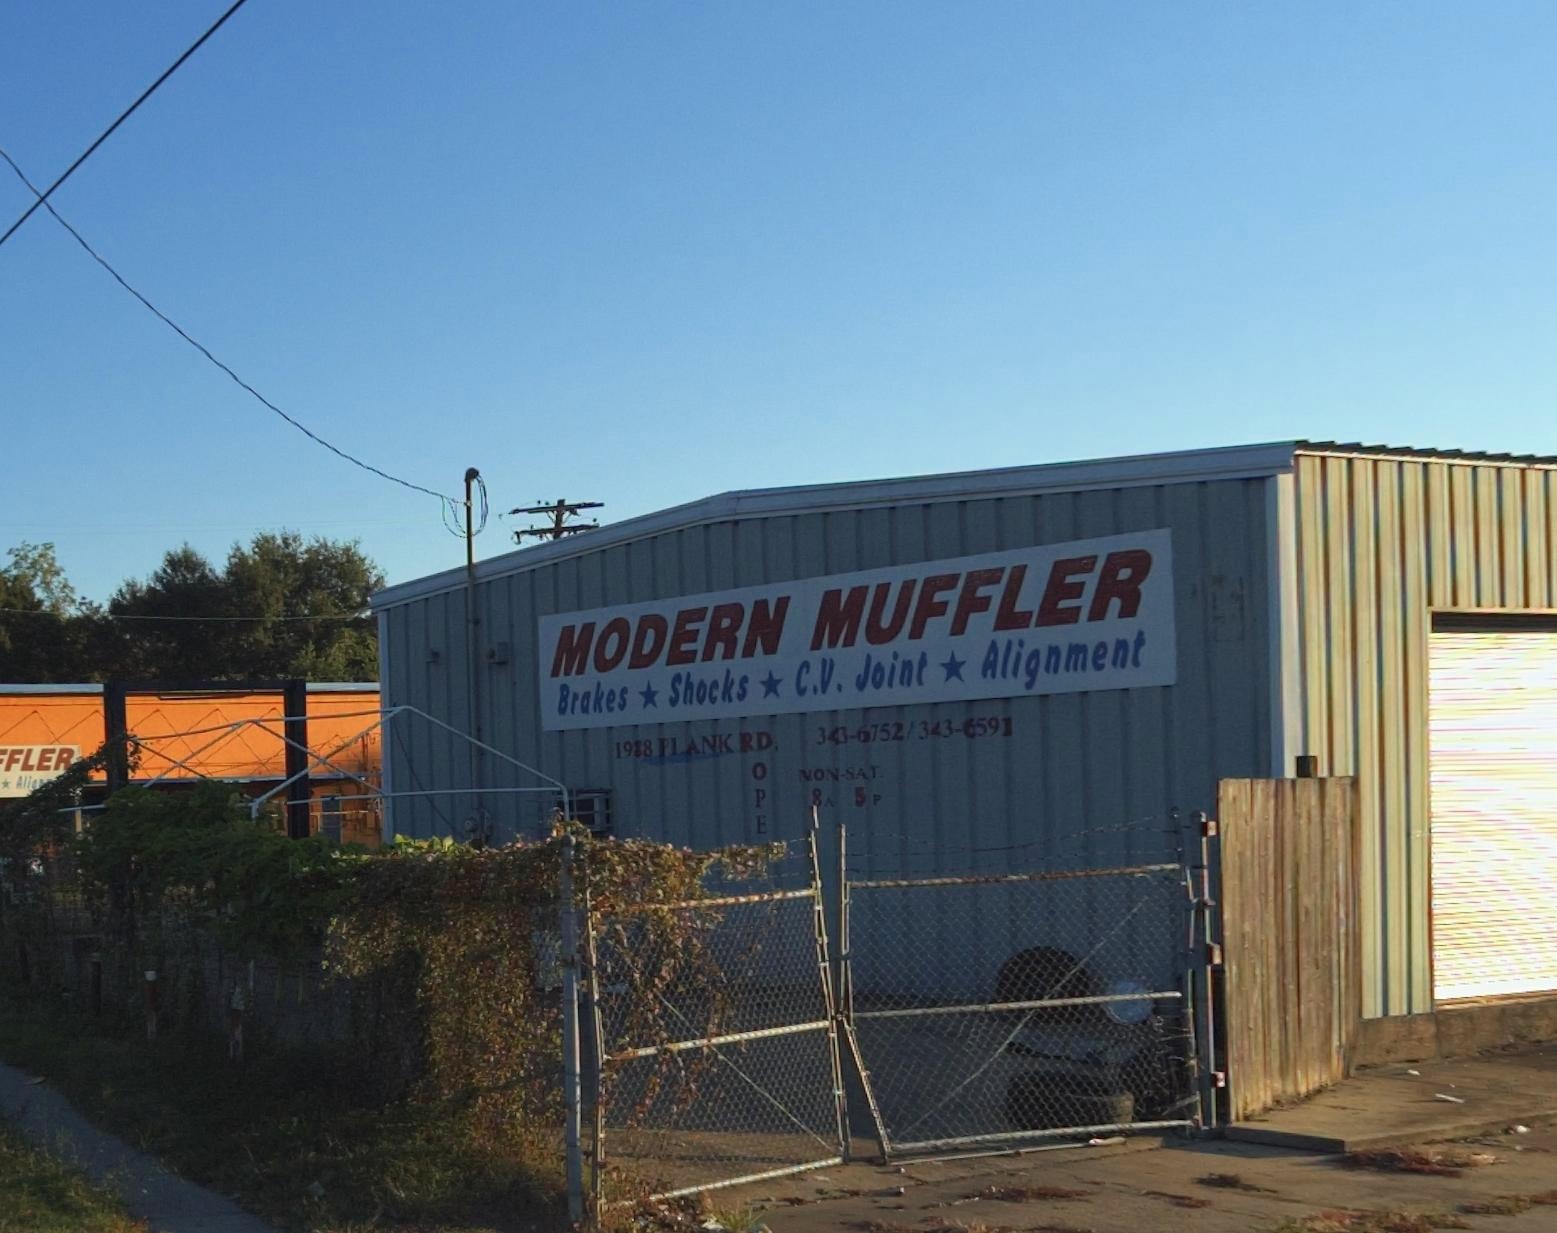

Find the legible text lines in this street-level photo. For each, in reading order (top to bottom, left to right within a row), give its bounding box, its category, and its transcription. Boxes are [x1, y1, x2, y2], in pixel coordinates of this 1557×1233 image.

[545, 542, 1163, 682] BusinessName: MODERN MUFFLER
[554, 624, 1150, 718] None: Brakes*Shocks*C.V. Joint*Alignment
[10, 774, 41, 795] None: Ali*
[0, 746, 79, 774] BusinessName: FLER
[612, 737, 655, 763] StreetNumber: 1988
[654, 728, 783, 760] StreetName: PLANK RD.
[749, 759, 770, 838] None: OPE
[795, 762, 888, 786] None: *ON-SAT
[808, 783, 887, 809] None: 8A 8P
[814, 712, 1018, 749] None: 343-6752/343-6591